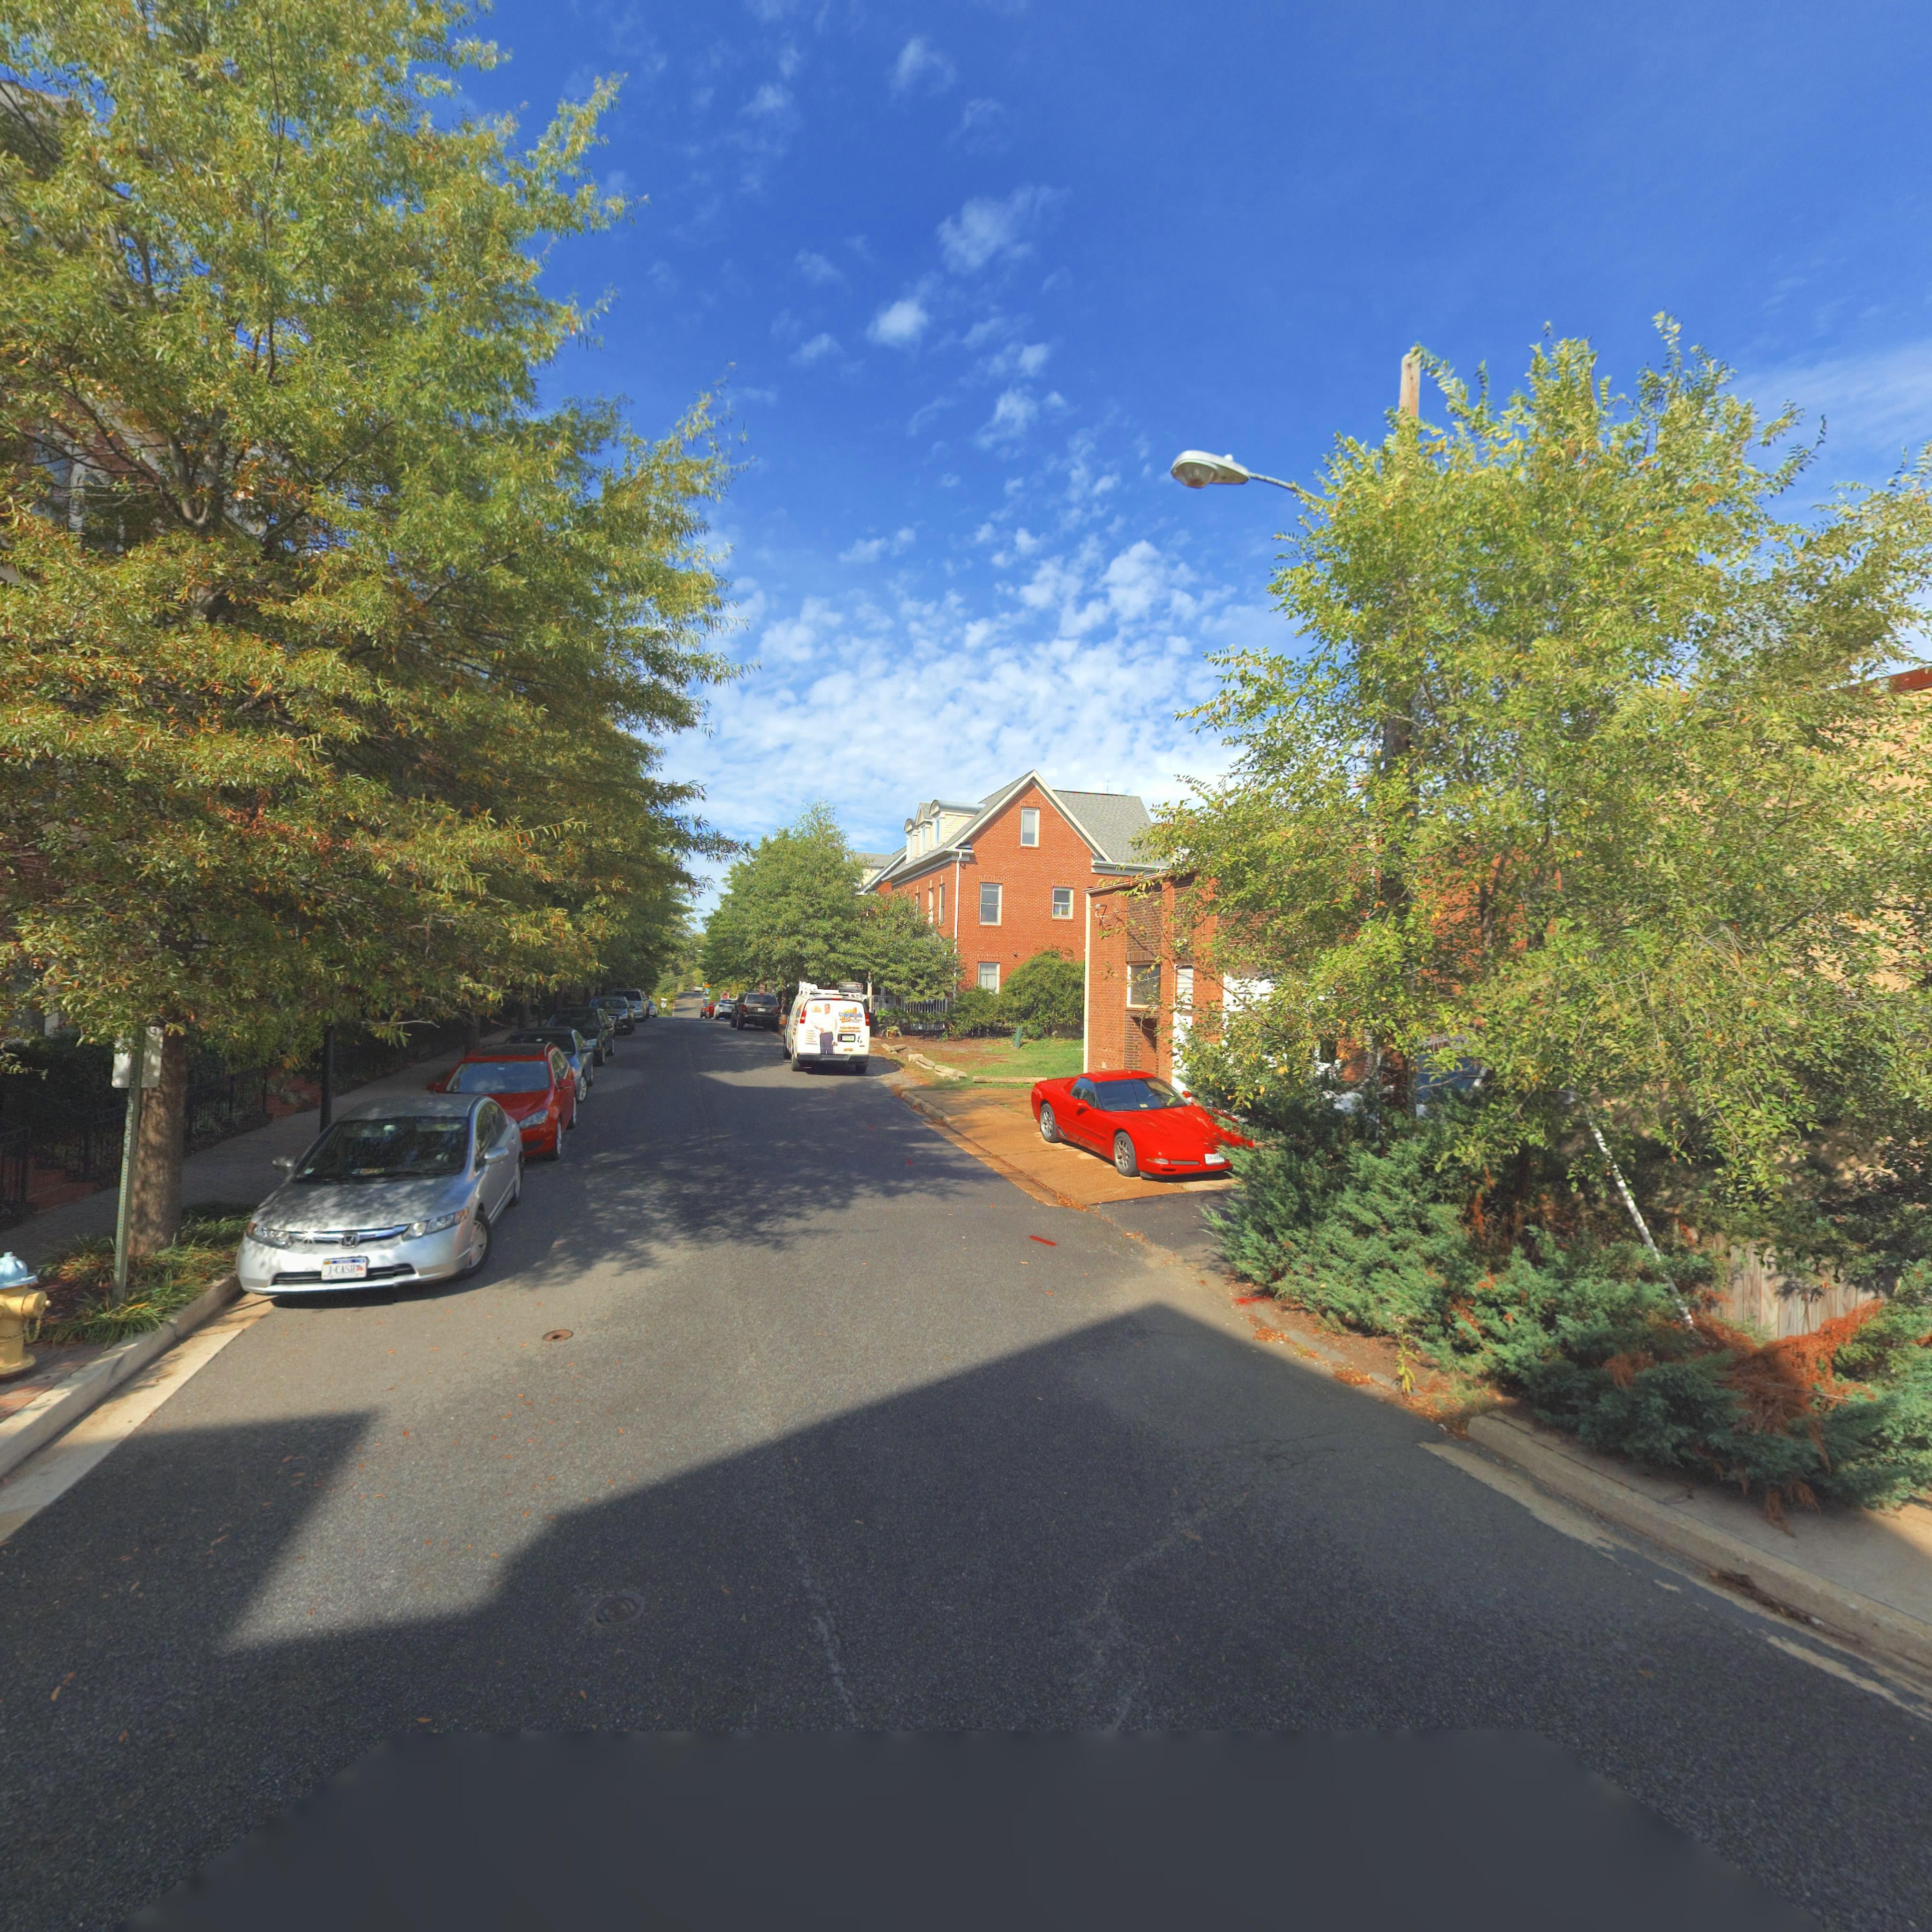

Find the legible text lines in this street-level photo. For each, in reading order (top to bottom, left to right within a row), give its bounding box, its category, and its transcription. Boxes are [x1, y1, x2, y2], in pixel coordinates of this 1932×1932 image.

[1213, 1155, 1217, 1161] None: 9
[328, 1264, 355, 1275] None: J*CASH